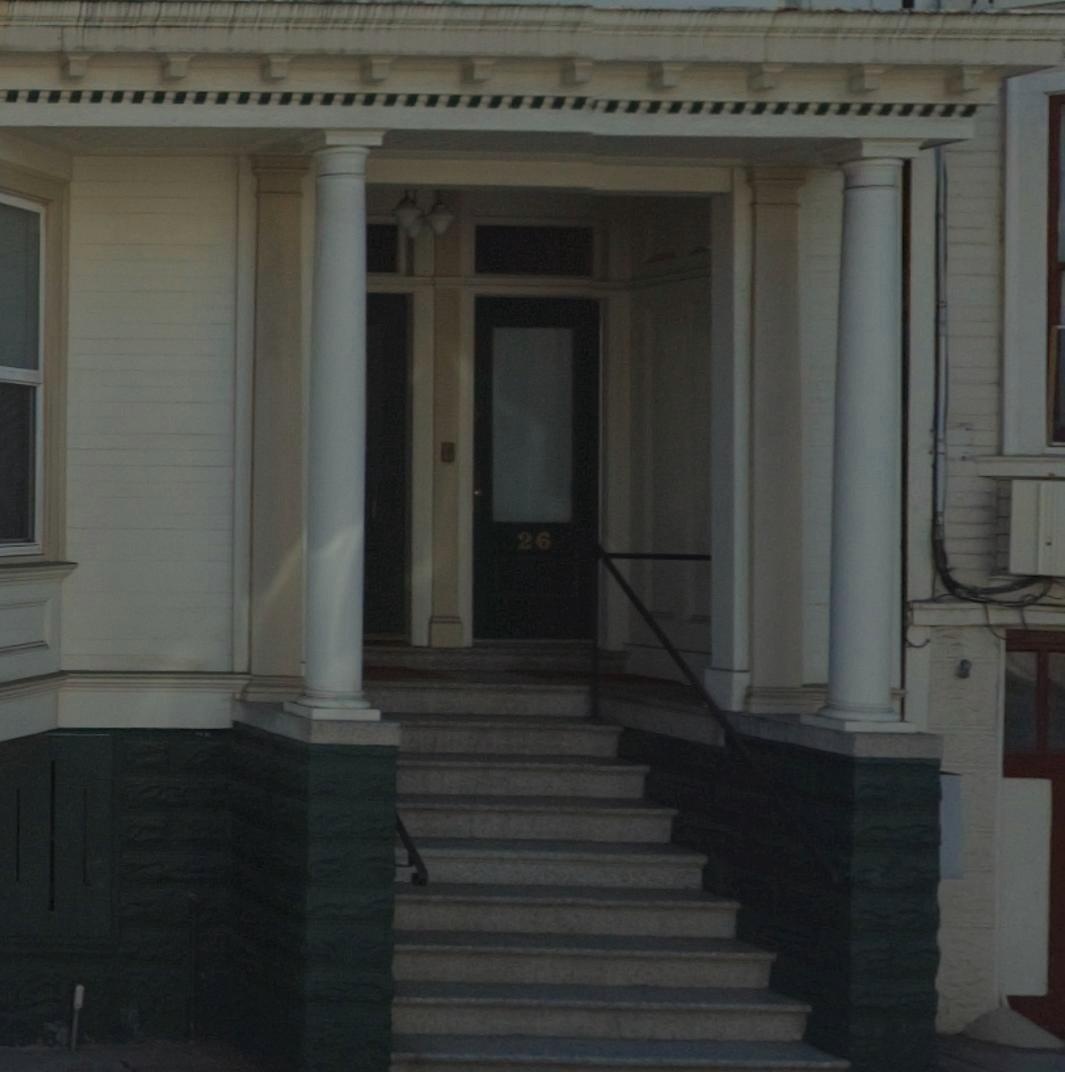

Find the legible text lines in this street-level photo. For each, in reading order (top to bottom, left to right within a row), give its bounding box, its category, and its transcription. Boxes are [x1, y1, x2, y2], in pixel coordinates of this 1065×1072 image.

[515, 530, 553, 551] StreetNumber: 26